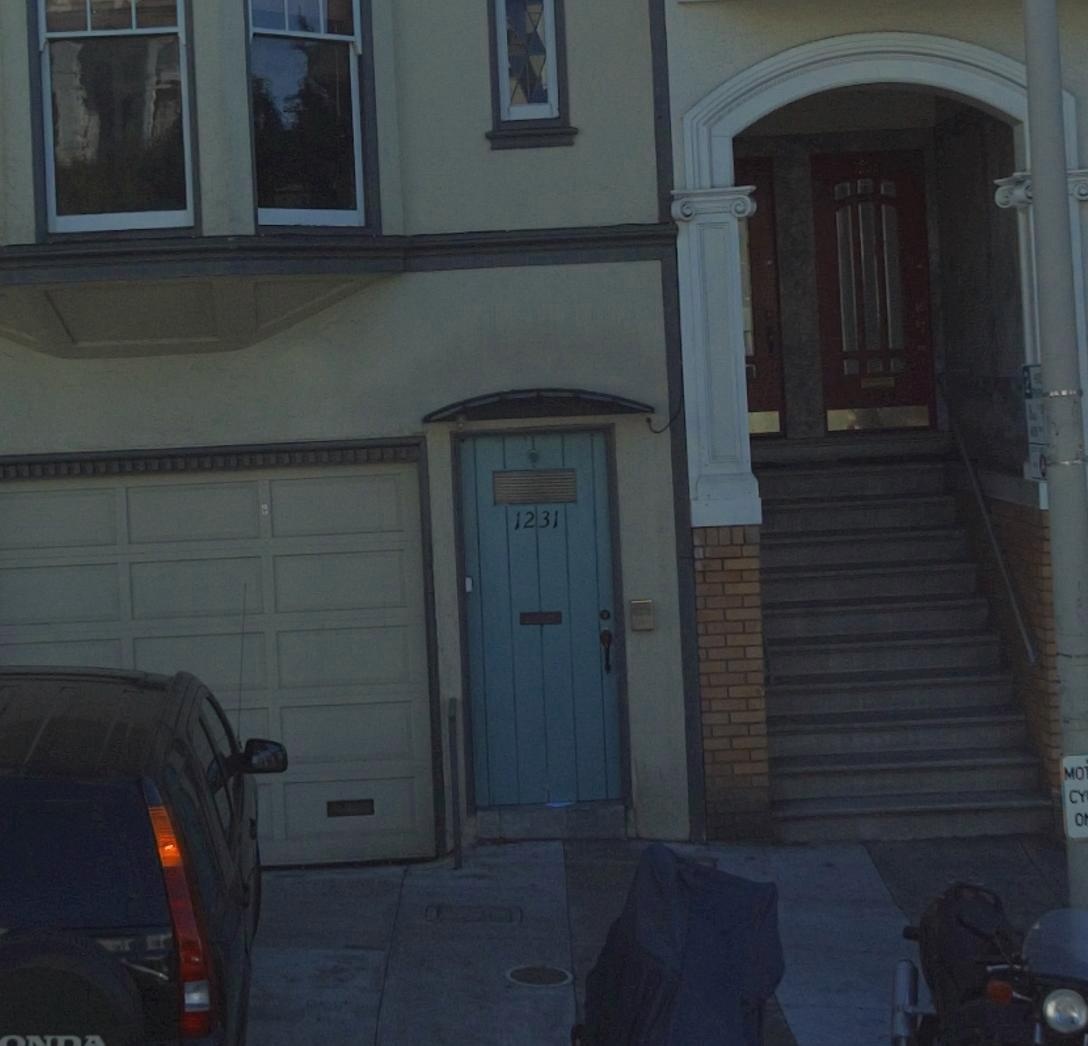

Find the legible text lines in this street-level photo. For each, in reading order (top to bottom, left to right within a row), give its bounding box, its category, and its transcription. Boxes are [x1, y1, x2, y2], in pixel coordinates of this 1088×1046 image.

[514, 509, 560, 531] StreetNumber: 1231
[1062, 765, 1086, 782] None: MO
[1067, 788, 1087, 805] None: CY
[1073, 811, 1085, 829] None: O